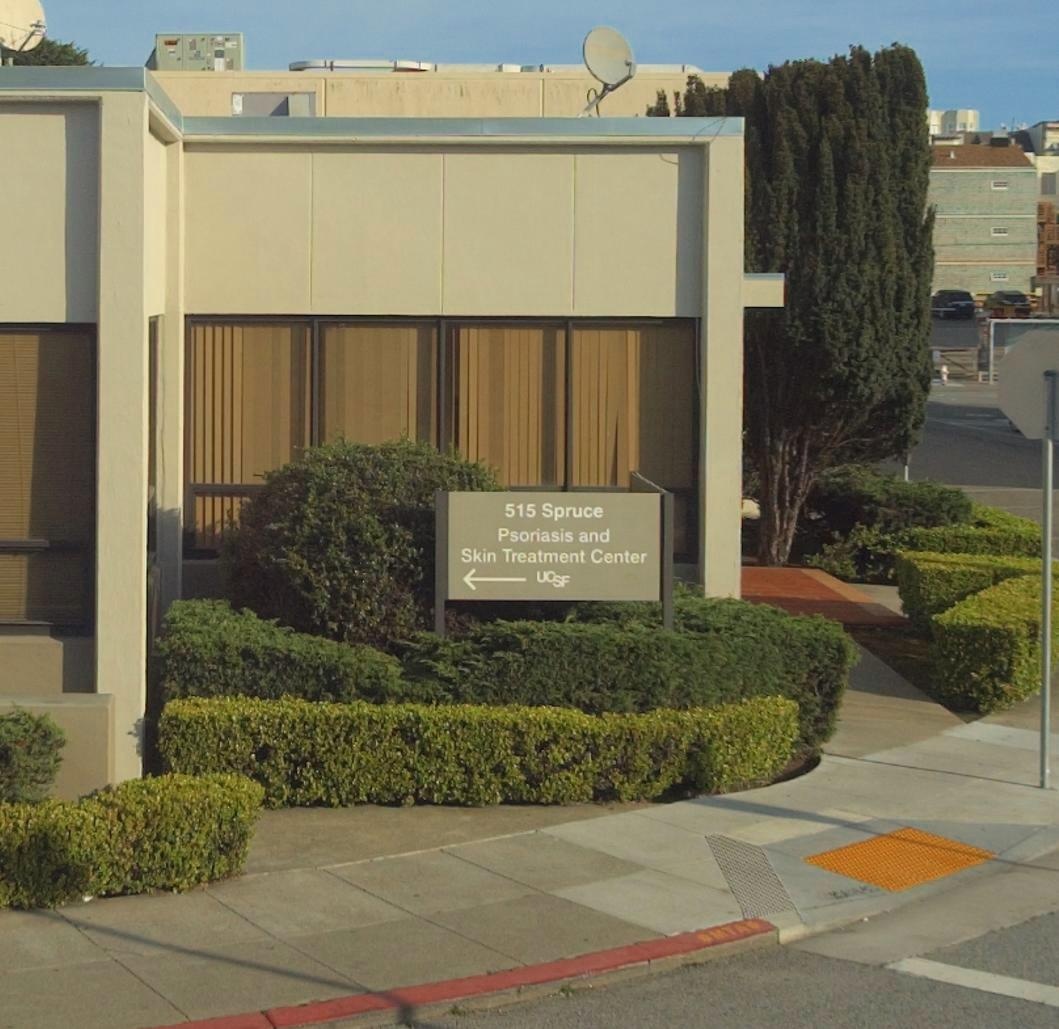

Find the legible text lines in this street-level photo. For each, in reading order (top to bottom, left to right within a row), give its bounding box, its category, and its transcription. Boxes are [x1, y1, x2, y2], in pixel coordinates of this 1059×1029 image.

[502, 501, 538, 520] StreetNumber: 515
[540, 499, 606, 524] StreetName: Spruce
[496, 525, 613, 546] BusinessName: Psoriasis and
[459, 545, 650, 566] BusinessName: Skin Treatment Center
[534, 568, 573, 592] None: UOSF